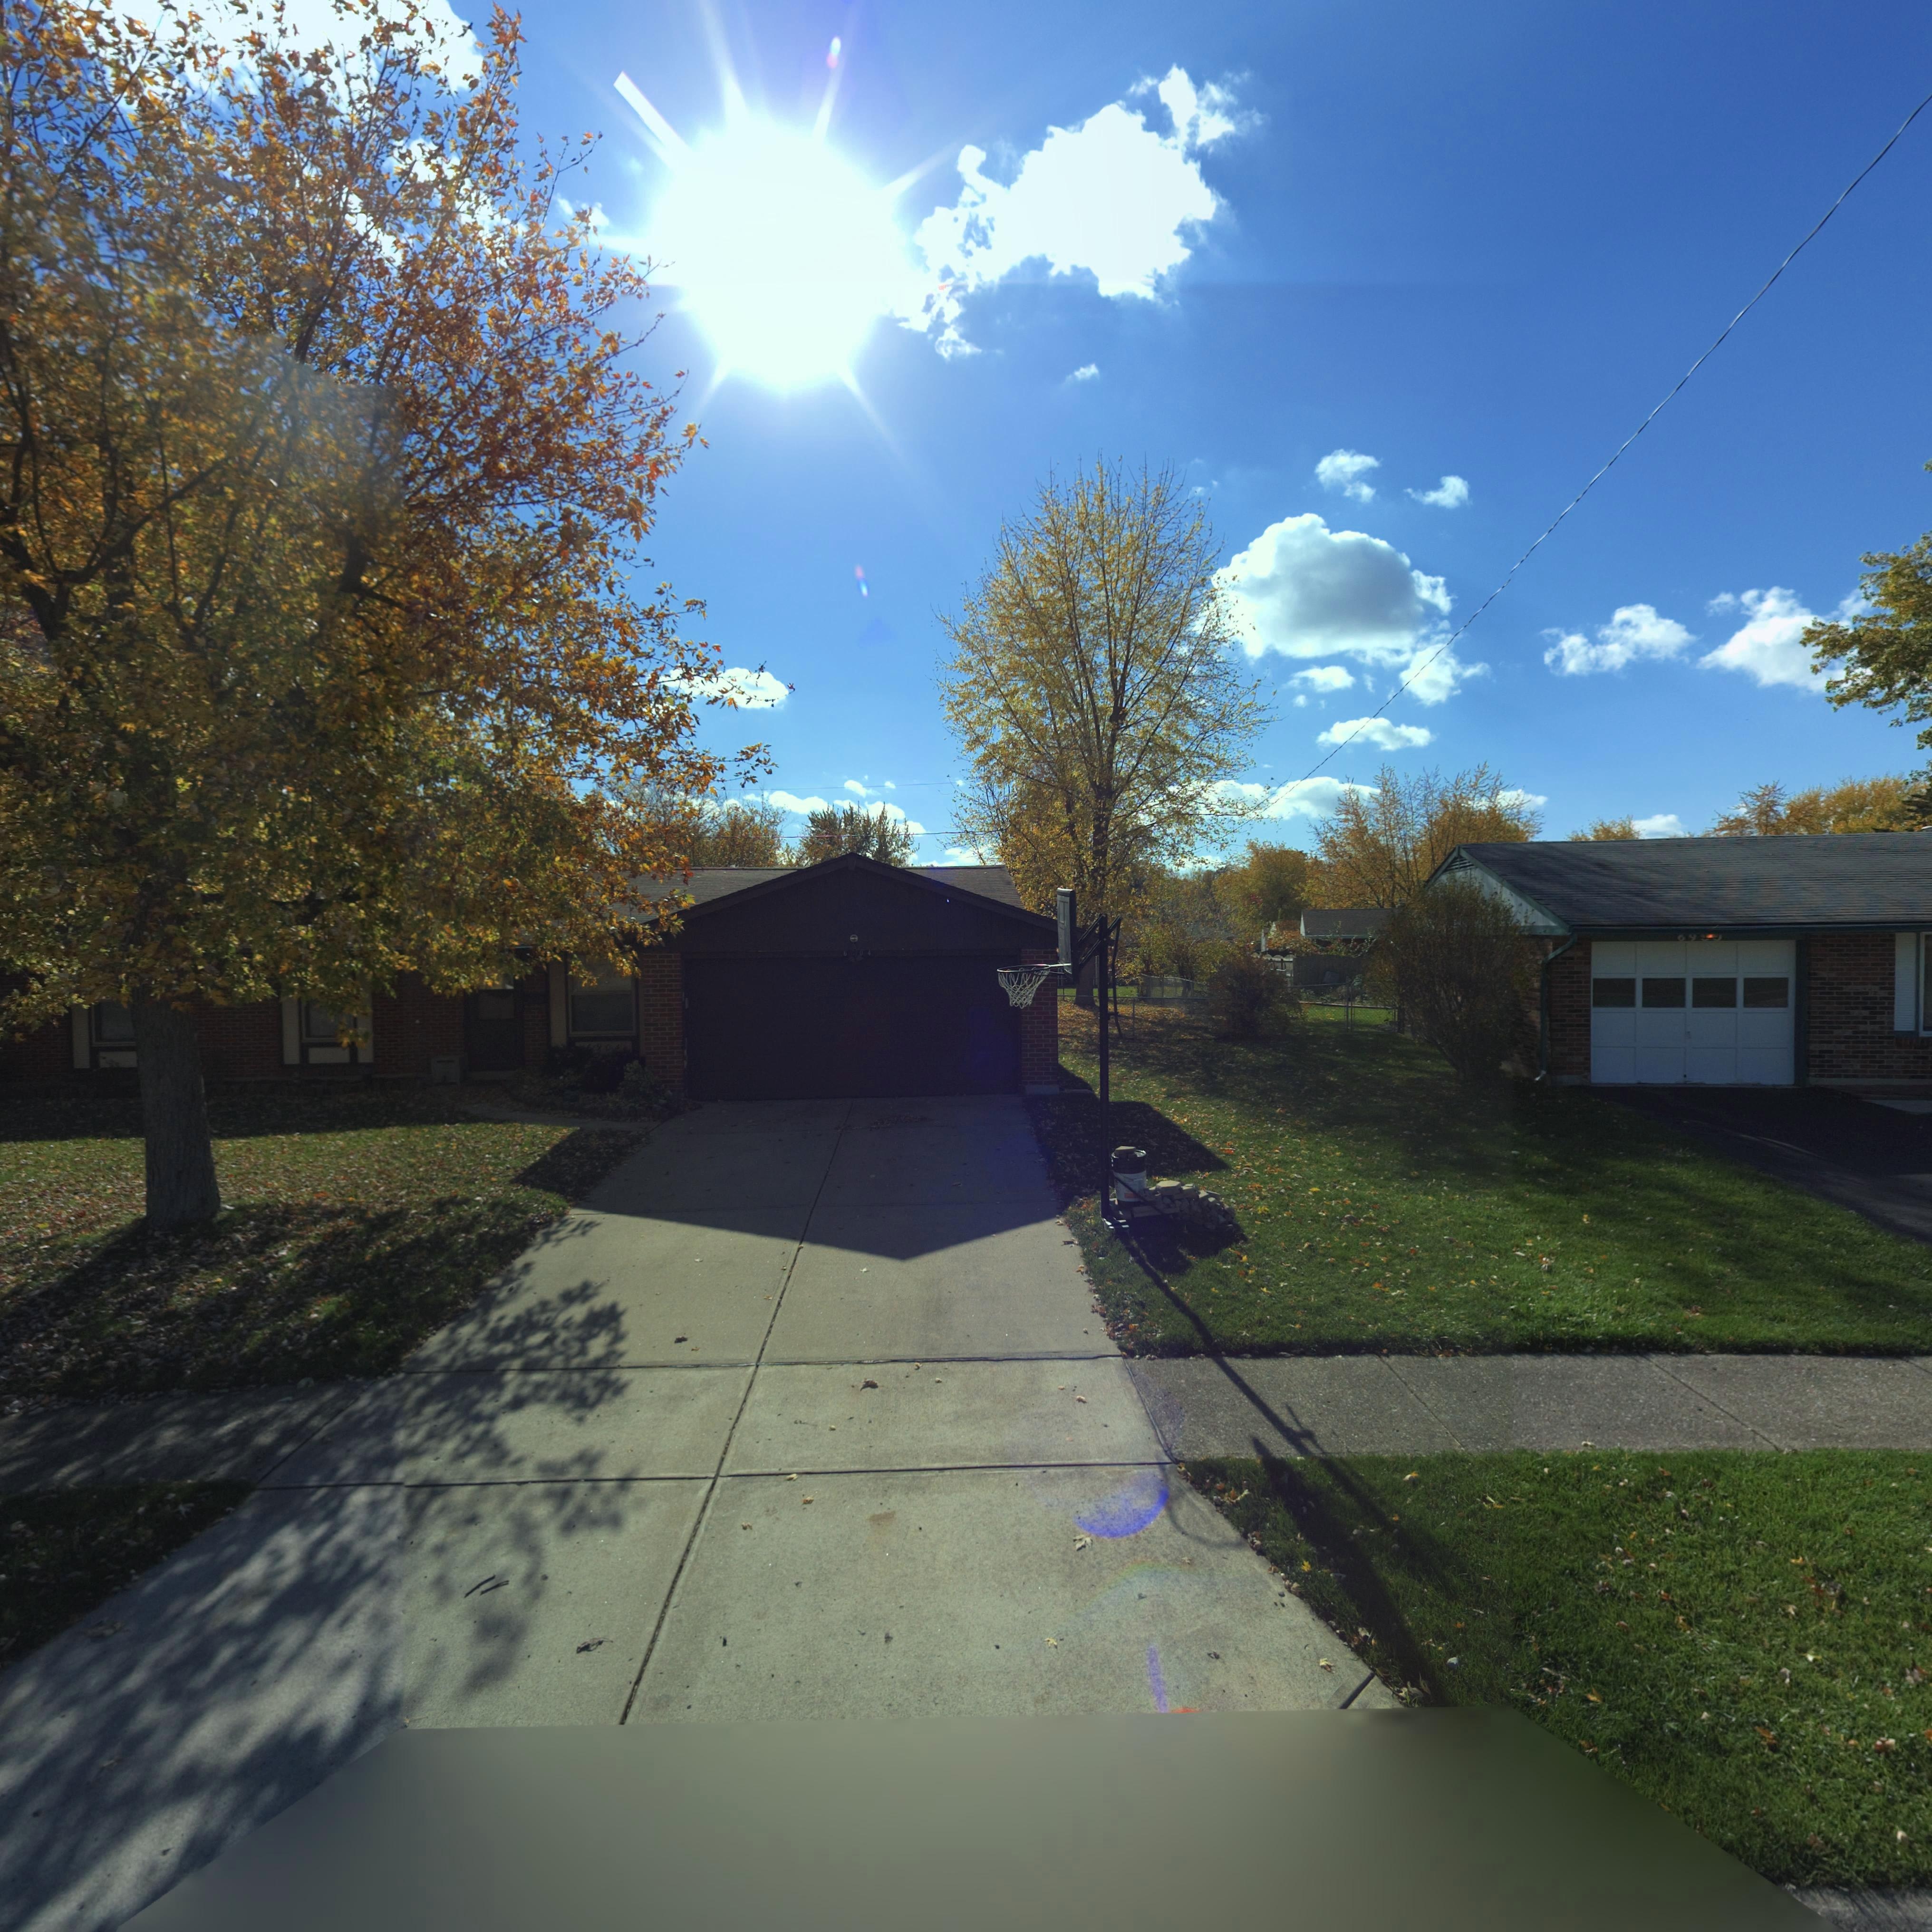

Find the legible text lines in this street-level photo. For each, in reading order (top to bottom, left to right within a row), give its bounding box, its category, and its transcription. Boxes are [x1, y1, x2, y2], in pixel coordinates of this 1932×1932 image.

[842, 949, 872, 957] StreetNumber: 6*04